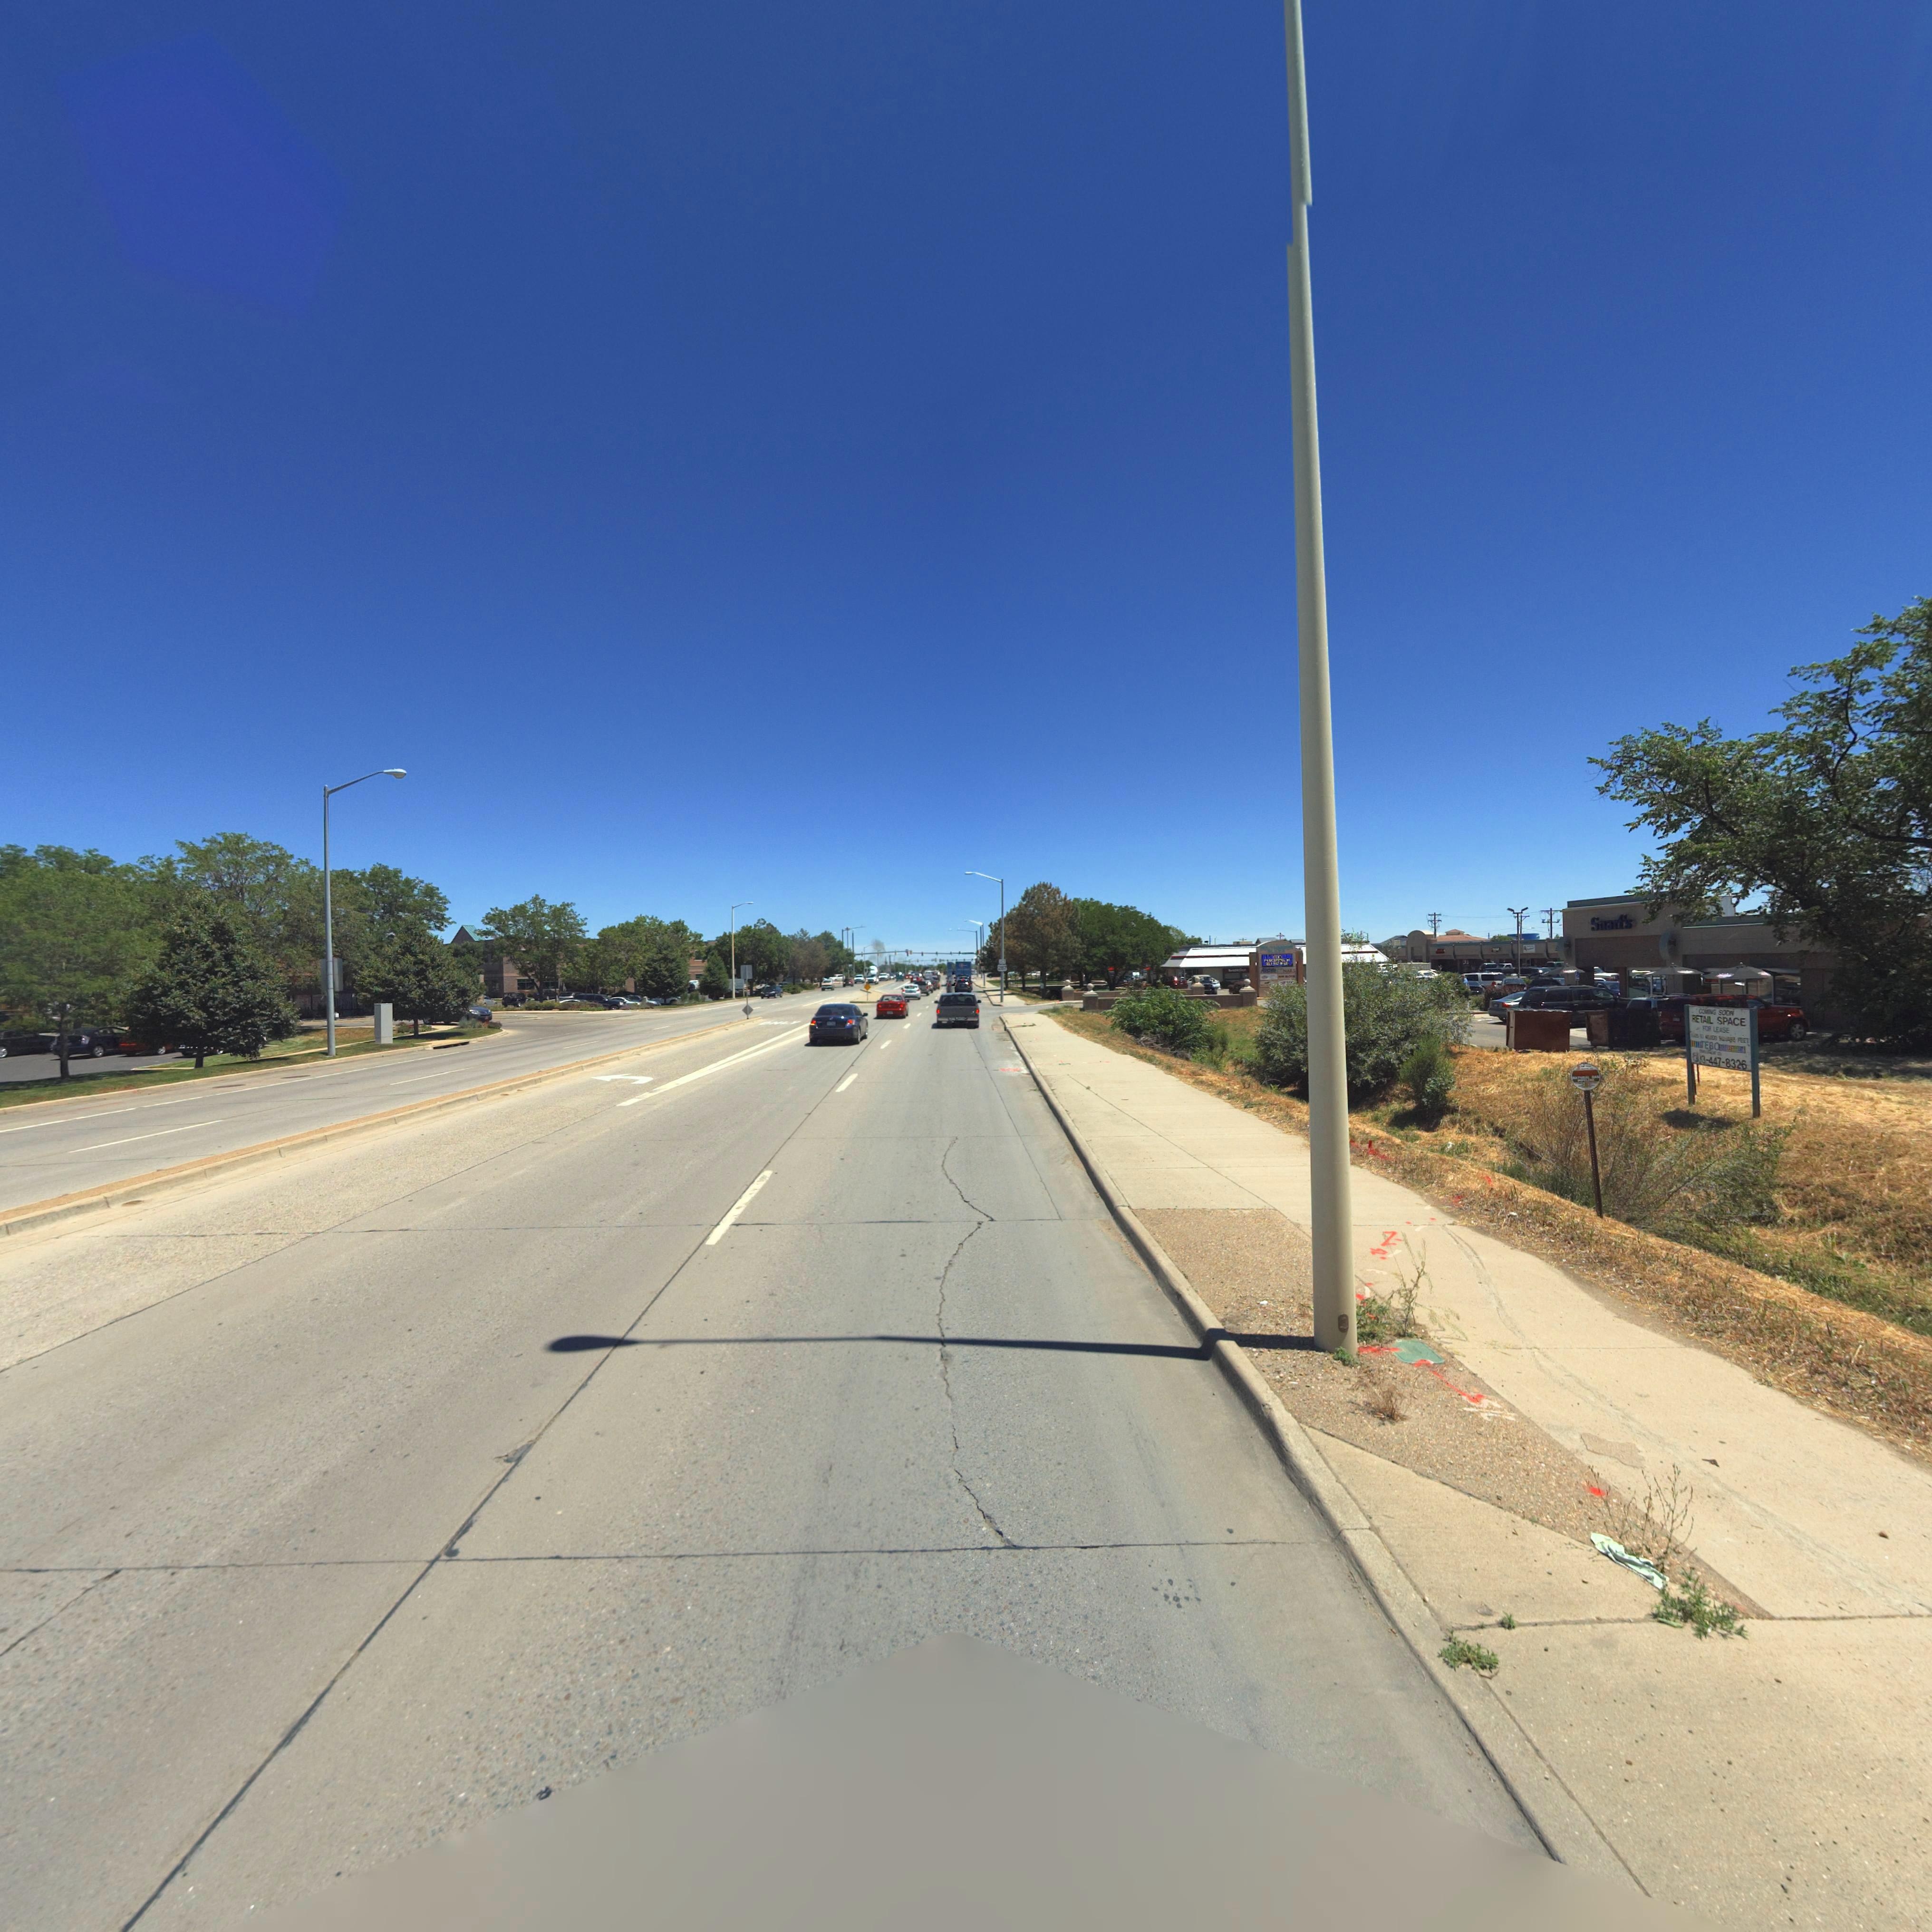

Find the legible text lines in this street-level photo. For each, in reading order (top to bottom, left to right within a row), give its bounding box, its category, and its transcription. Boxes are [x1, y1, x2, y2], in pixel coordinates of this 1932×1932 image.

[1590, 912, 1633, 932] BusinessName: Snarf's
[1260, 967, 1277, 973] BusinessName: A**s*a*e
[1283, 968, 1295, 973] BusinessName: NAILS